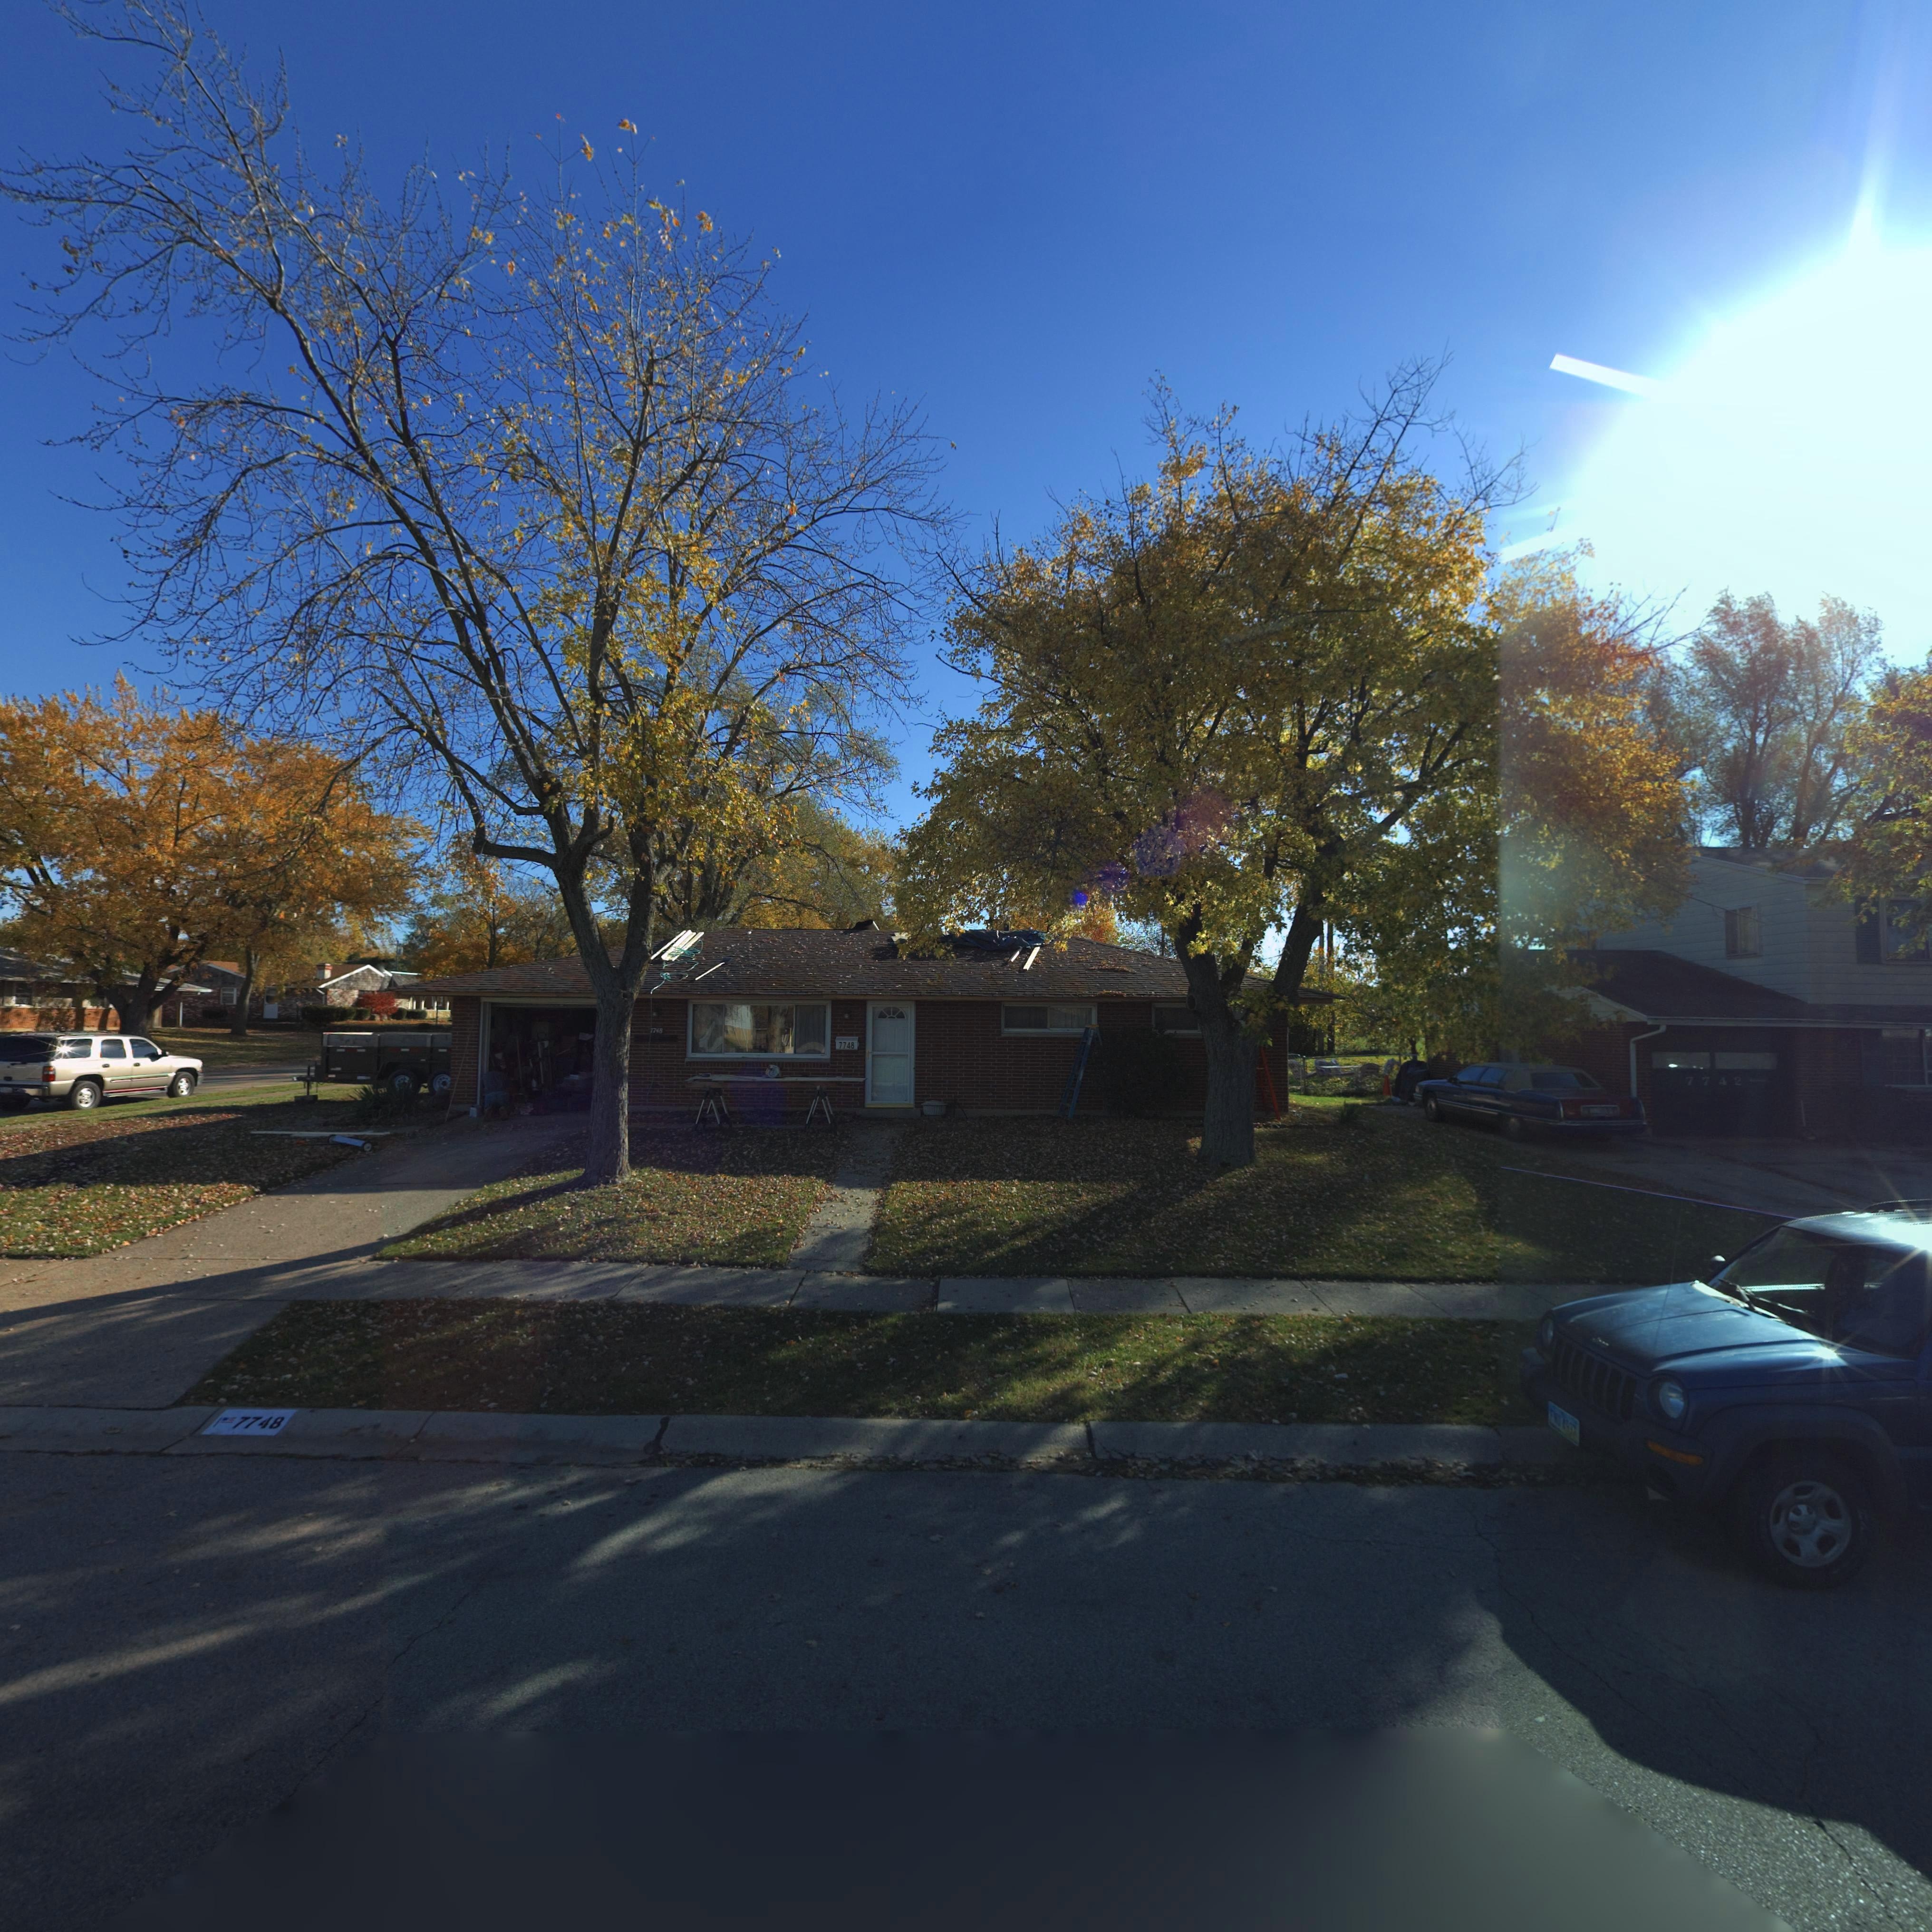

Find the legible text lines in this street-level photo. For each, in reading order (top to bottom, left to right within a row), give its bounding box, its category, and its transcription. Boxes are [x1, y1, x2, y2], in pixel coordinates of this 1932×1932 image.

[649, 1027, 664, 1034] StreetNumber: 7748
[838, 1041, 855, 1049] StreetNumber: 7748
[1685, 1076, 1743, 1087] StreetNumber: 7742
[230, 1415, 286, 1430] StreetNumber: 7748